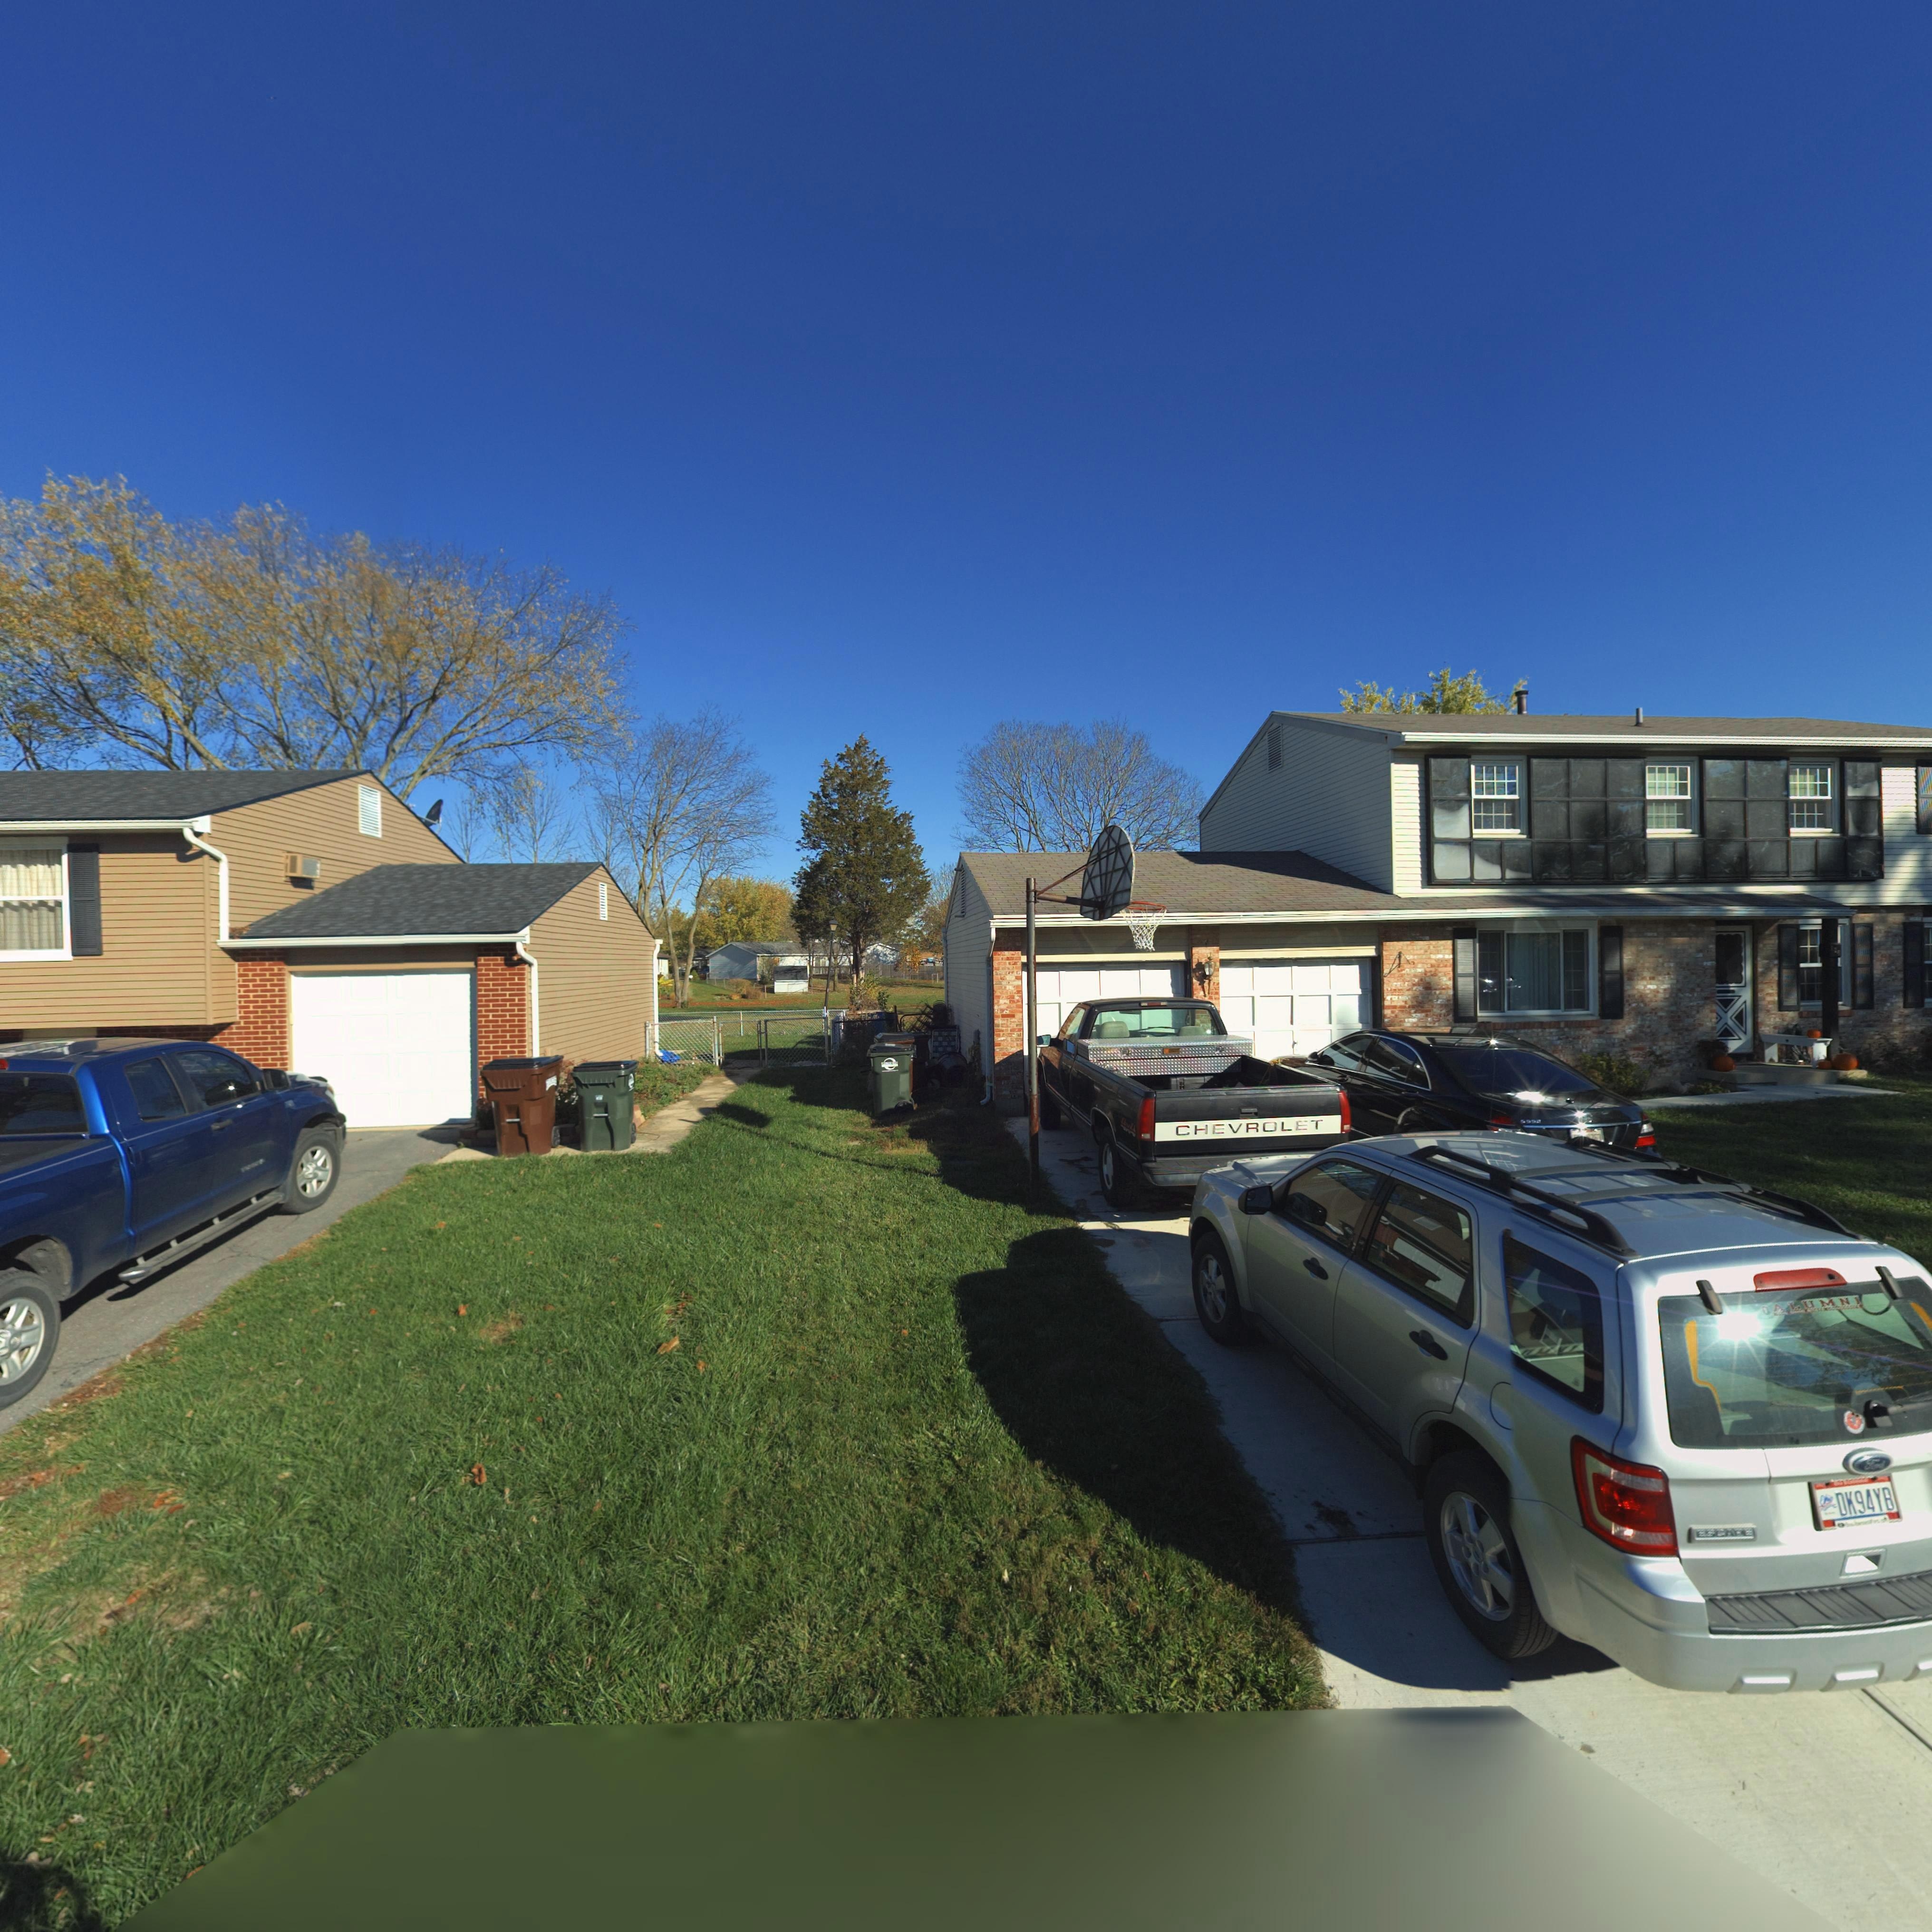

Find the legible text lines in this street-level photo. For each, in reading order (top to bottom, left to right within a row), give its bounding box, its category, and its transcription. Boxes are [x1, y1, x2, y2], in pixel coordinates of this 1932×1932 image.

[1830, 945, 1841, 956] StreetNumber: 1**